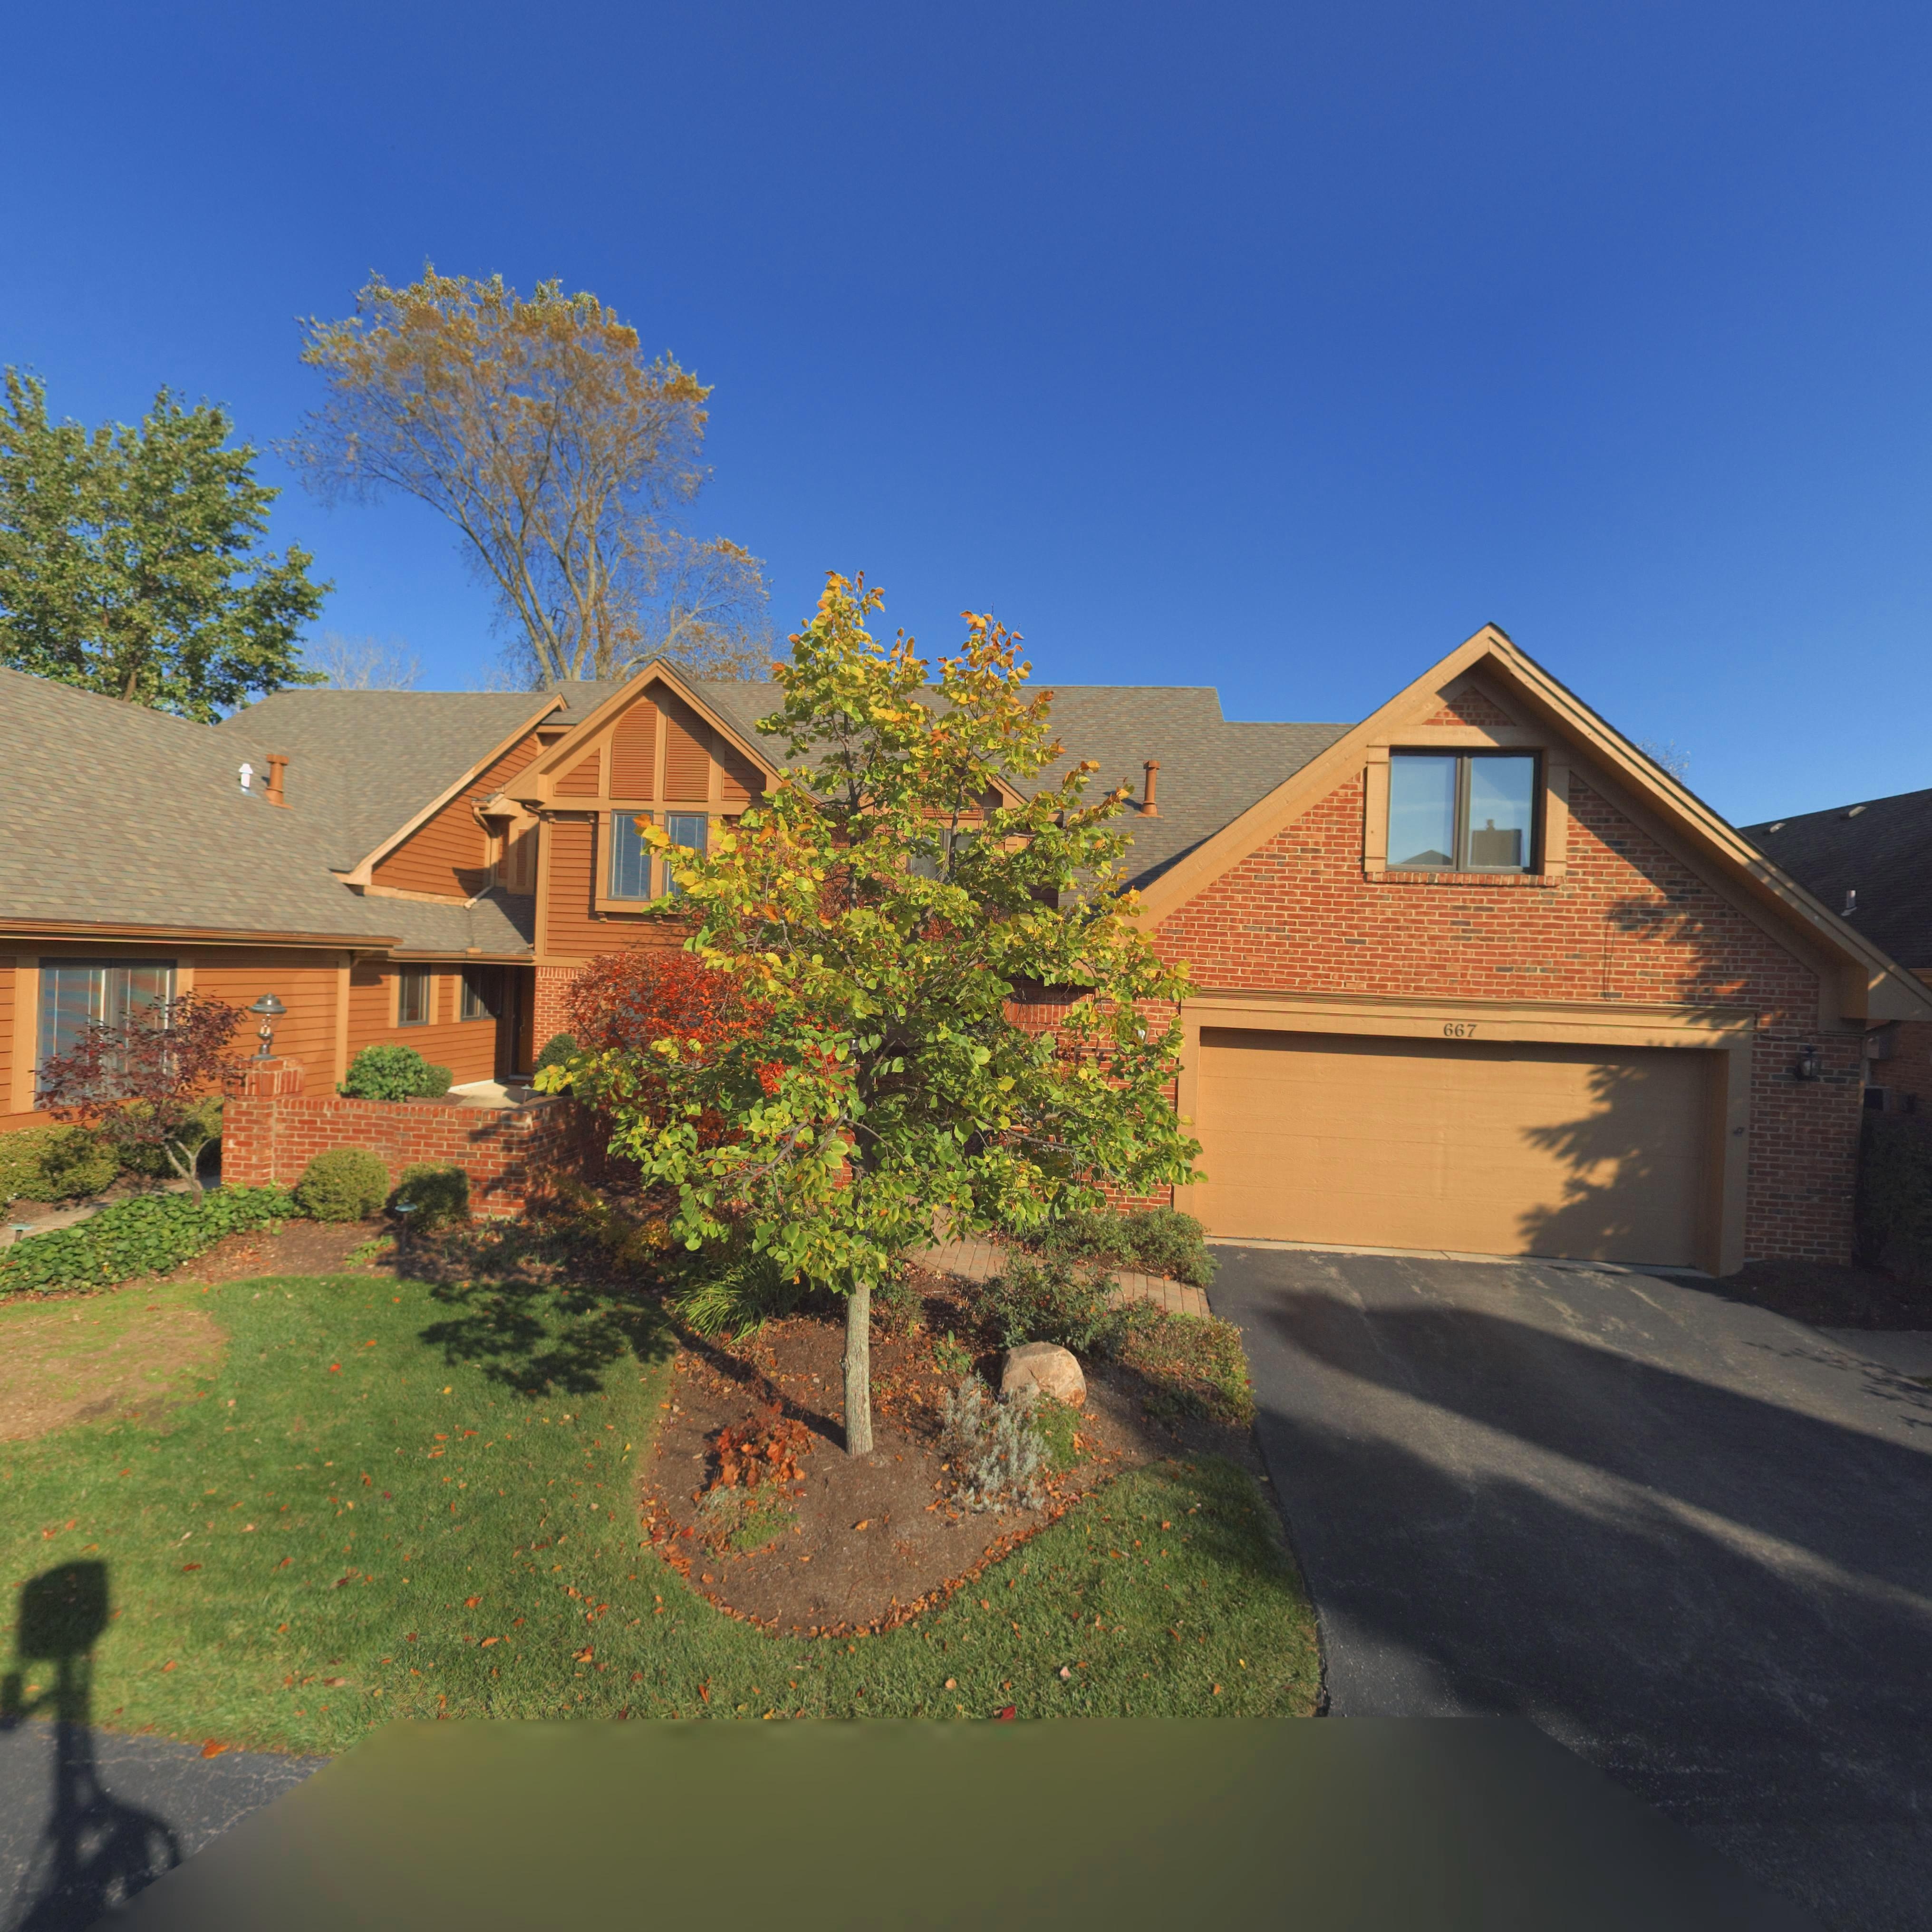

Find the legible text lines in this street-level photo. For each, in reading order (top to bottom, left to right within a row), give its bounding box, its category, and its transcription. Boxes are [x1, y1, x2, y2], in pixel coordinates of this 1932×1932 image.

[1443, 1022, 1479, 1039] StreetNumber: 667